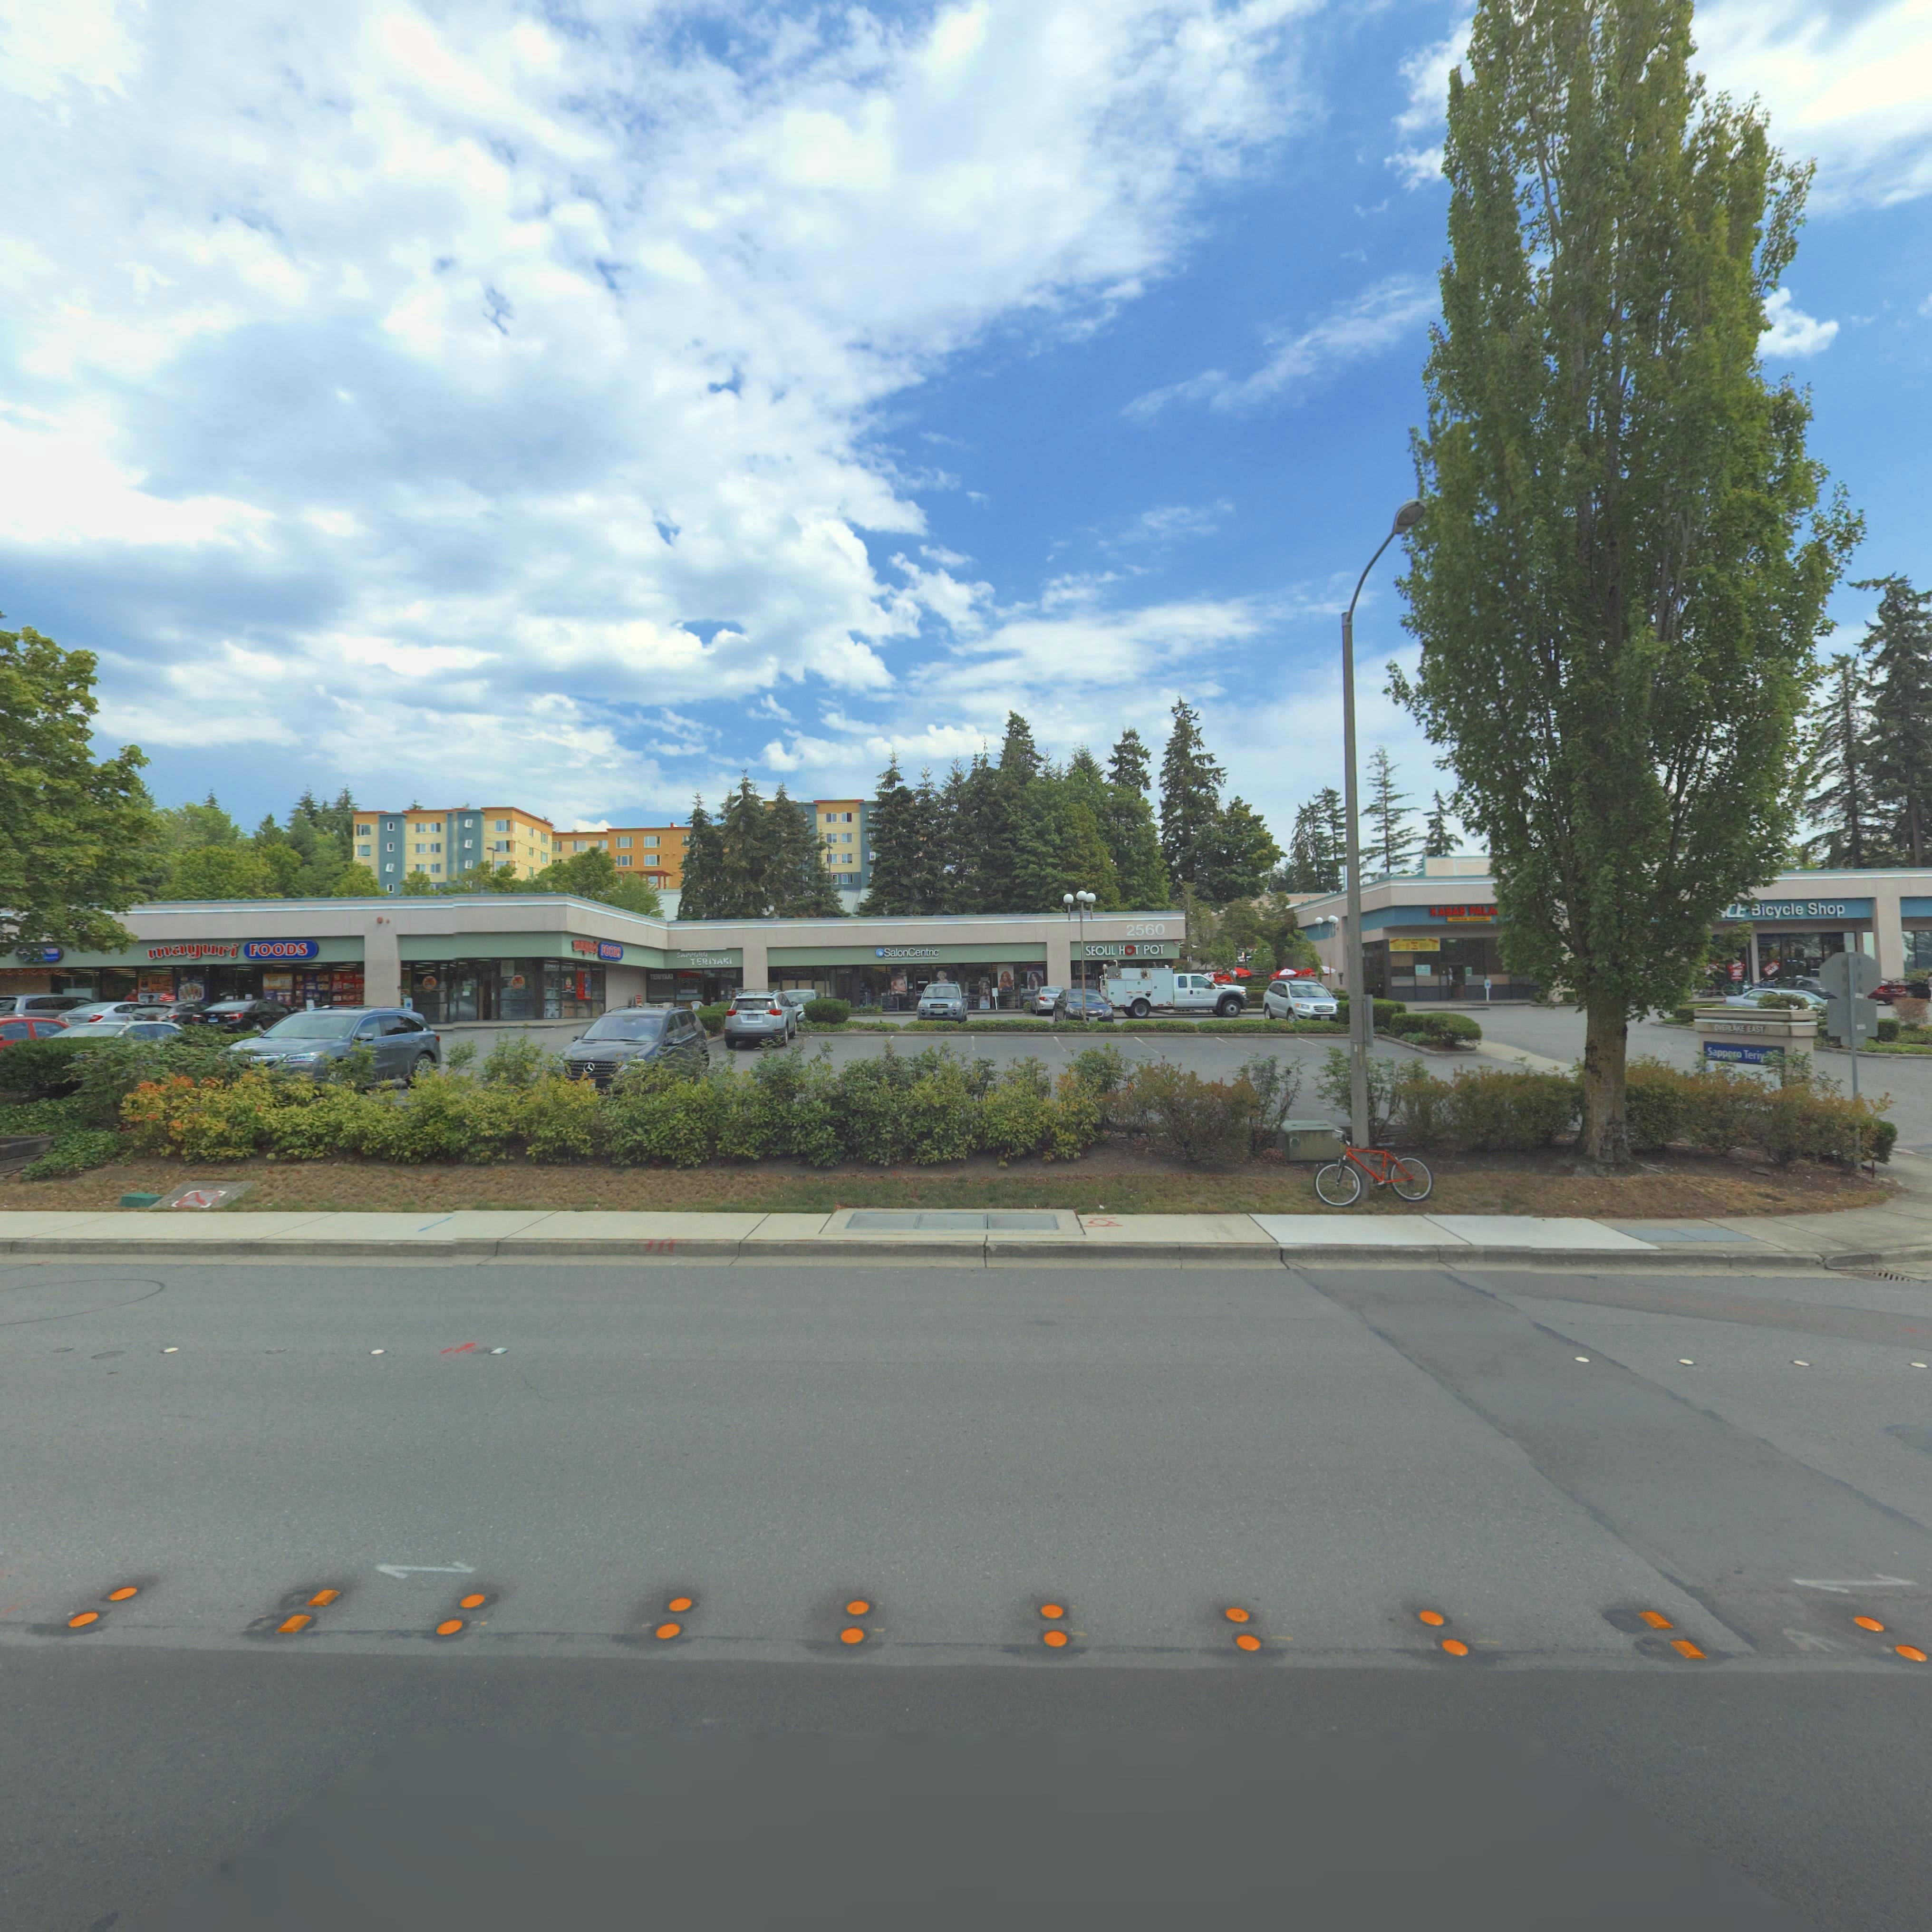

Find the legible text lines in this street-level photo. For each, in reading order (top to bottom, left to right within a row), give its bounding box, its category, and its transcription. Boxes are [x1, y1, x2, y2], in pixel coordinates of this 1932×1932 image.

[1430, 905, 1497, 918] BusinessName: KABAB PALA
[1751, 902, 1845, 917] BusinessName: *icycle Shop
[1126, 924, 1164, 935] StreetNumber: 2560
[147, 942, 238, 961] BusinessName: mayuri
[249, 943, 307, 956] BusinessName: FOODS
[571, 936, 598, 956] BusinessName: m*yuri
[601, 945, 622, 957] BusinessName: FOODS
[676, 952, 708, 958] BusinessName: SAPPORO
[884, 948, 939, 957] BusinessName: SalonCentric
[1085, 944, 1164, 956] BusinessName: SEOUL HOT POT
[690, 958, 732, 965] BusinessName: TERIYAKI